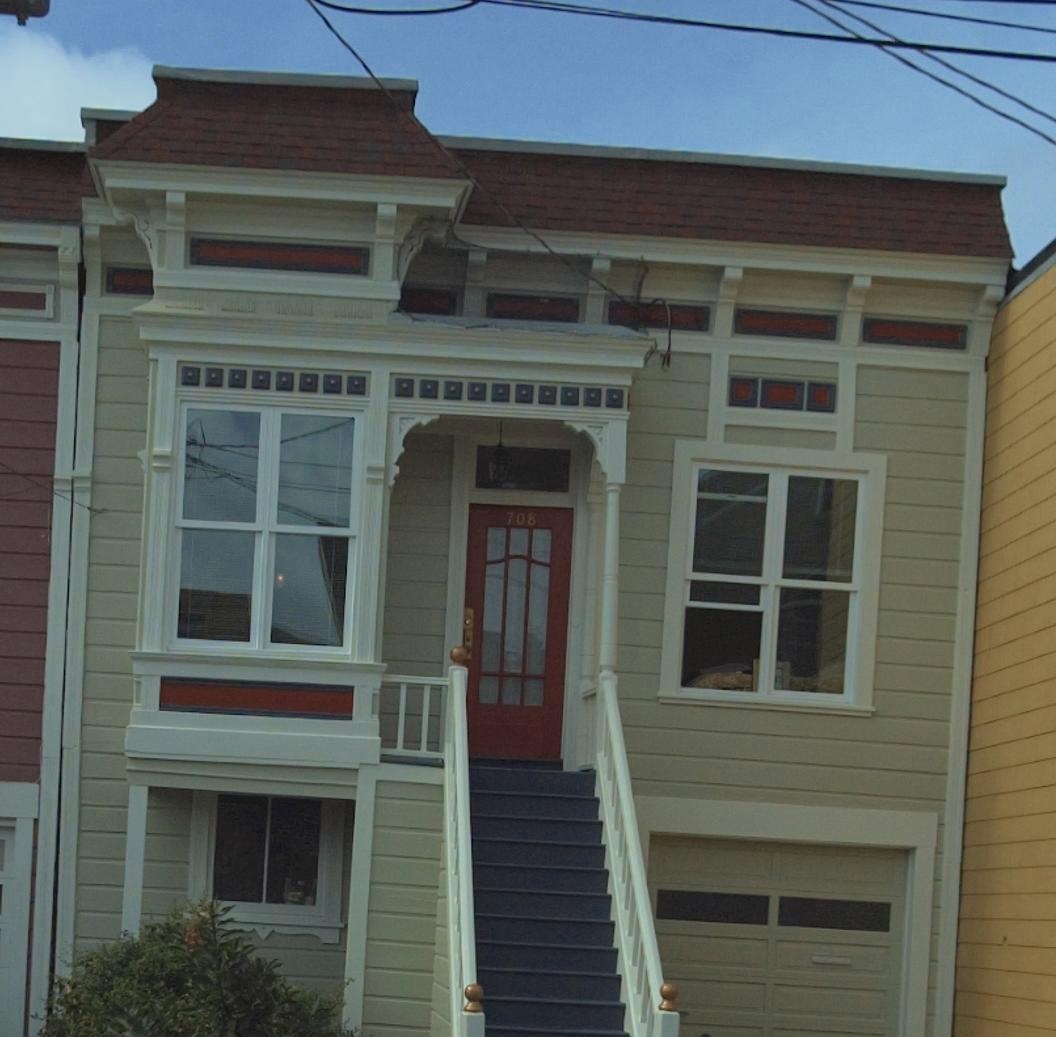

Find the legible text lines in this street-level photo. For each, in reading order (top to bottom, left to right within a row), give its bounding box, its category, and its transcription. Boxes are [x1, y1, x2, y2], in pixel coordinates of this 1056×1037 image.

[506, 510, 538, 527] StreetNumber: 708